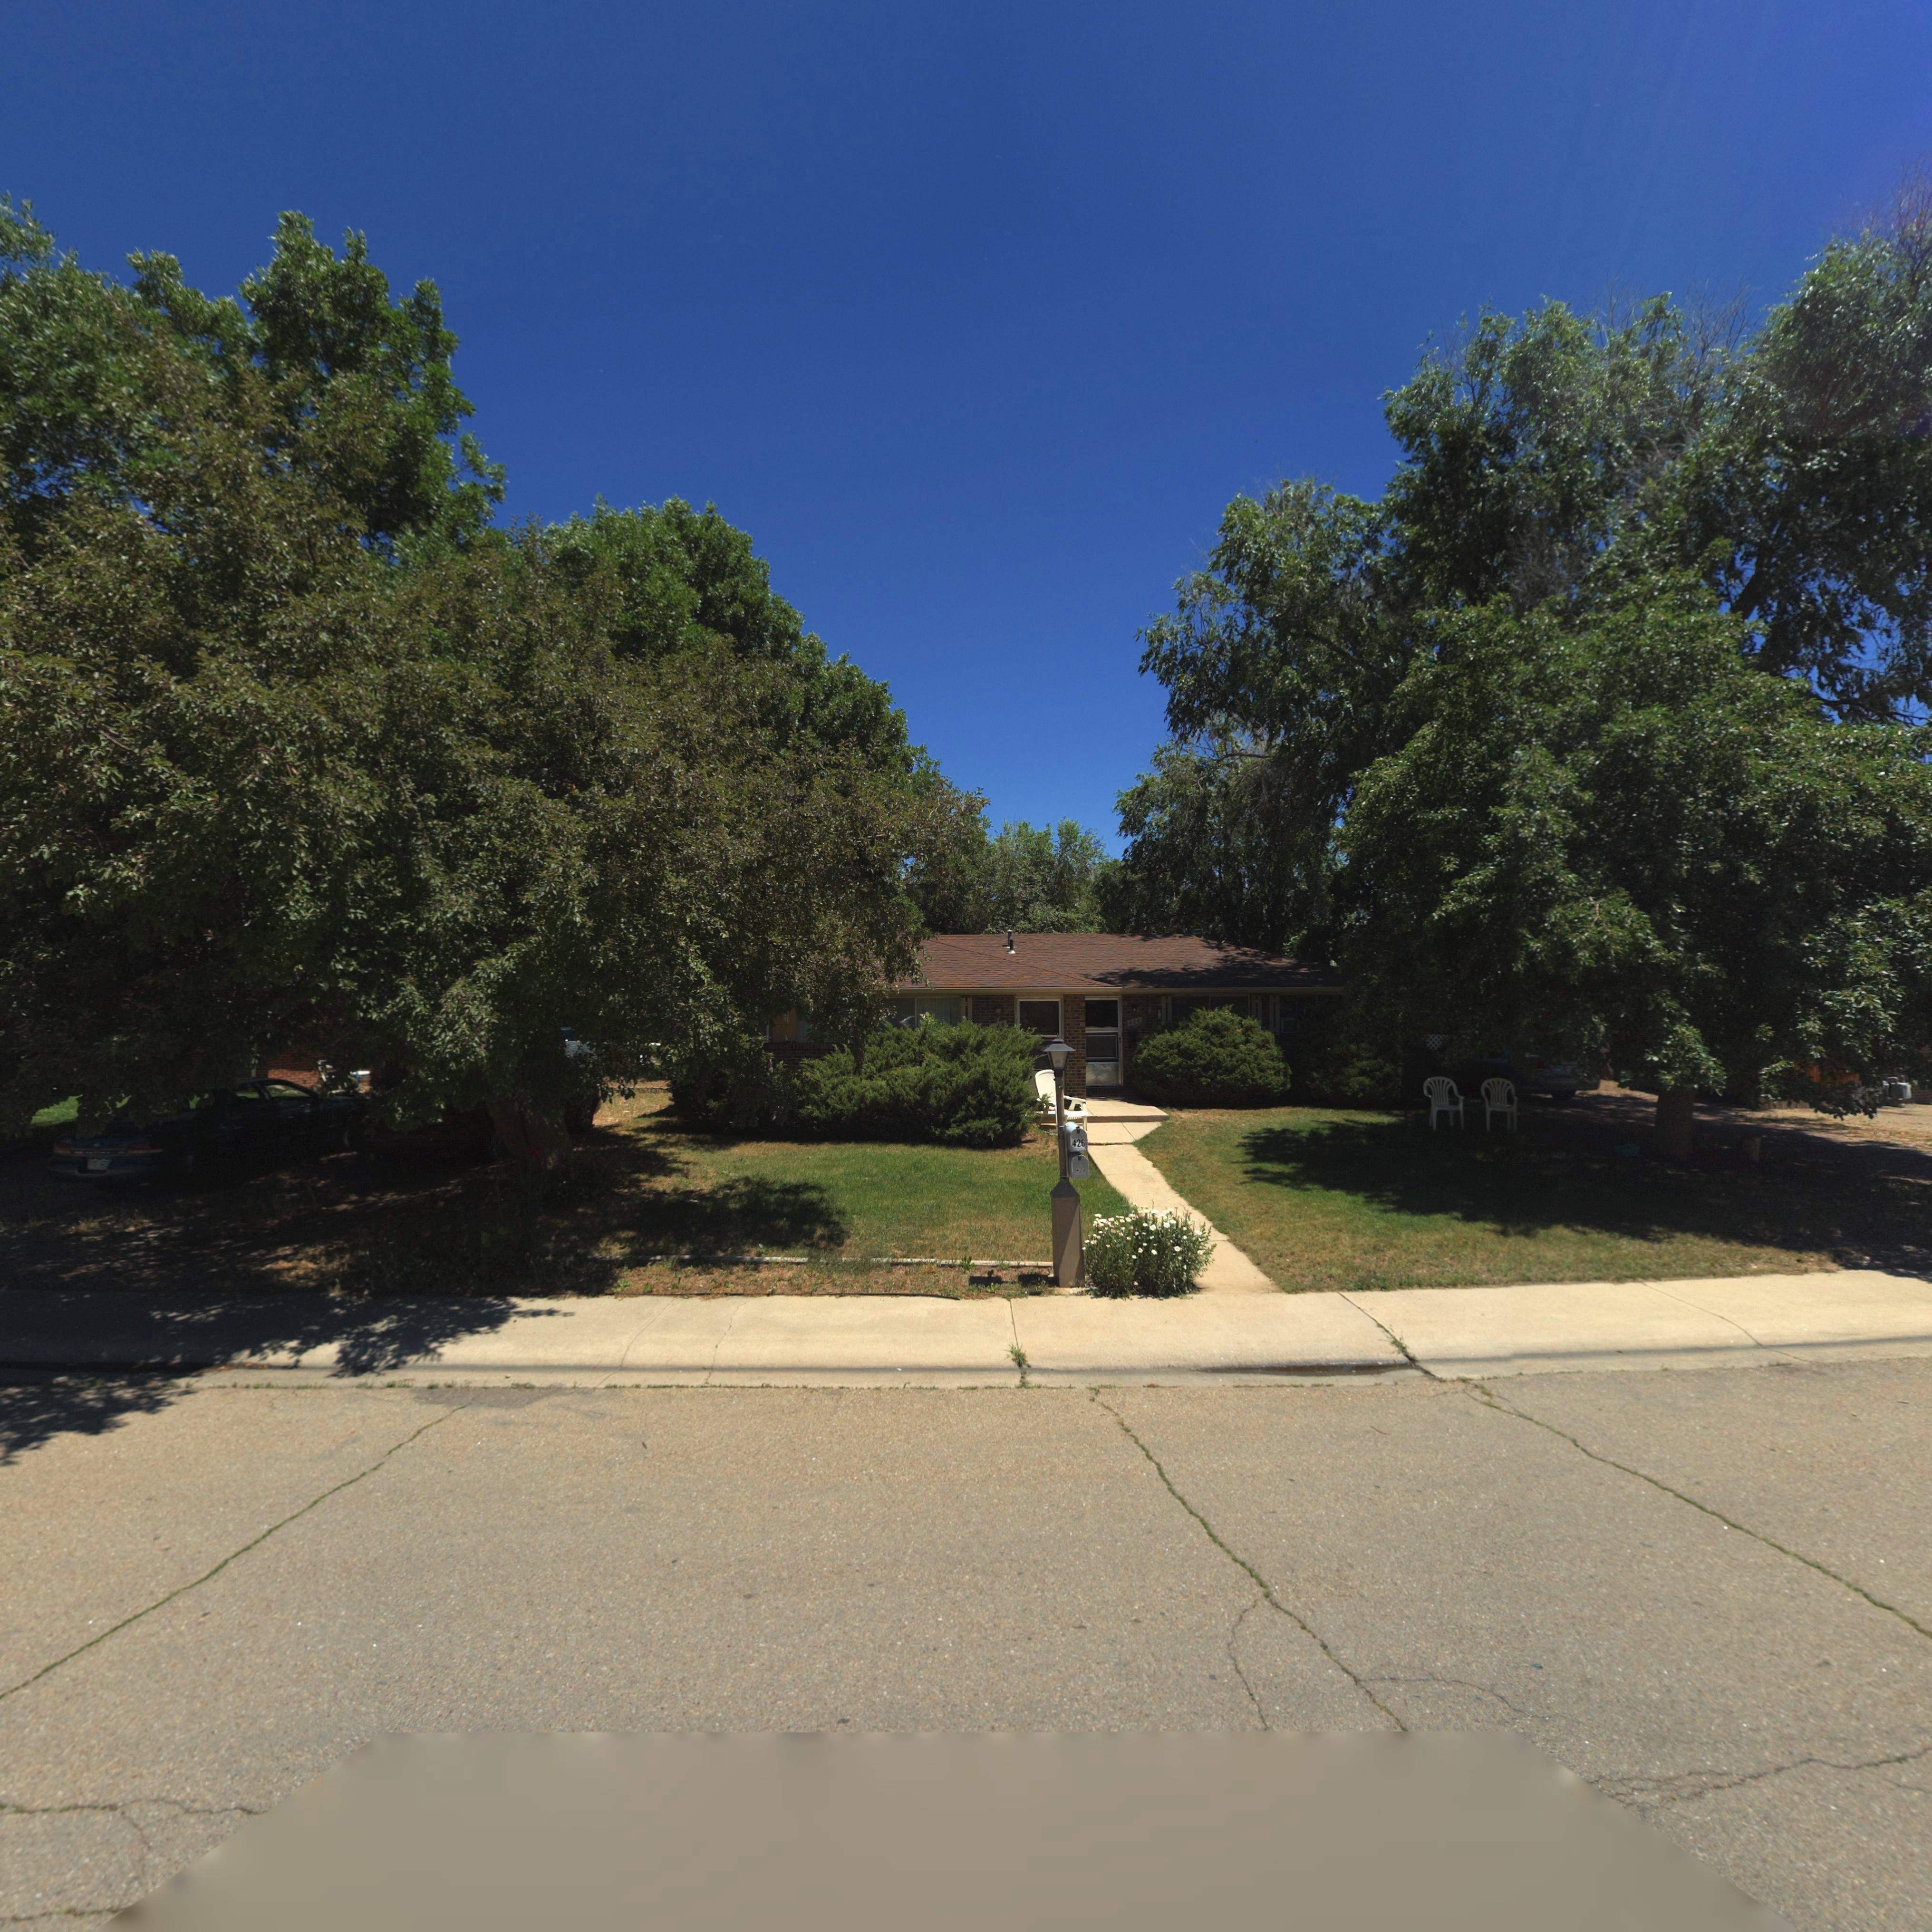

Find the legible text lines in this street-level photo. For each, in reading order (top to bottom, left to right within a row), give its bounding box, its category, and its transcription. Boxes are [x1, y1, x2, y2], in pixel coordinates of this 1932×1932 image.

[1128, 1017, 1140, 1025] StreetNumber: 426
[1072, 1138, 1085, 1147] StreetNumber: 426
[1075, 1168, 1086, 1172] StreetNumber: 4**